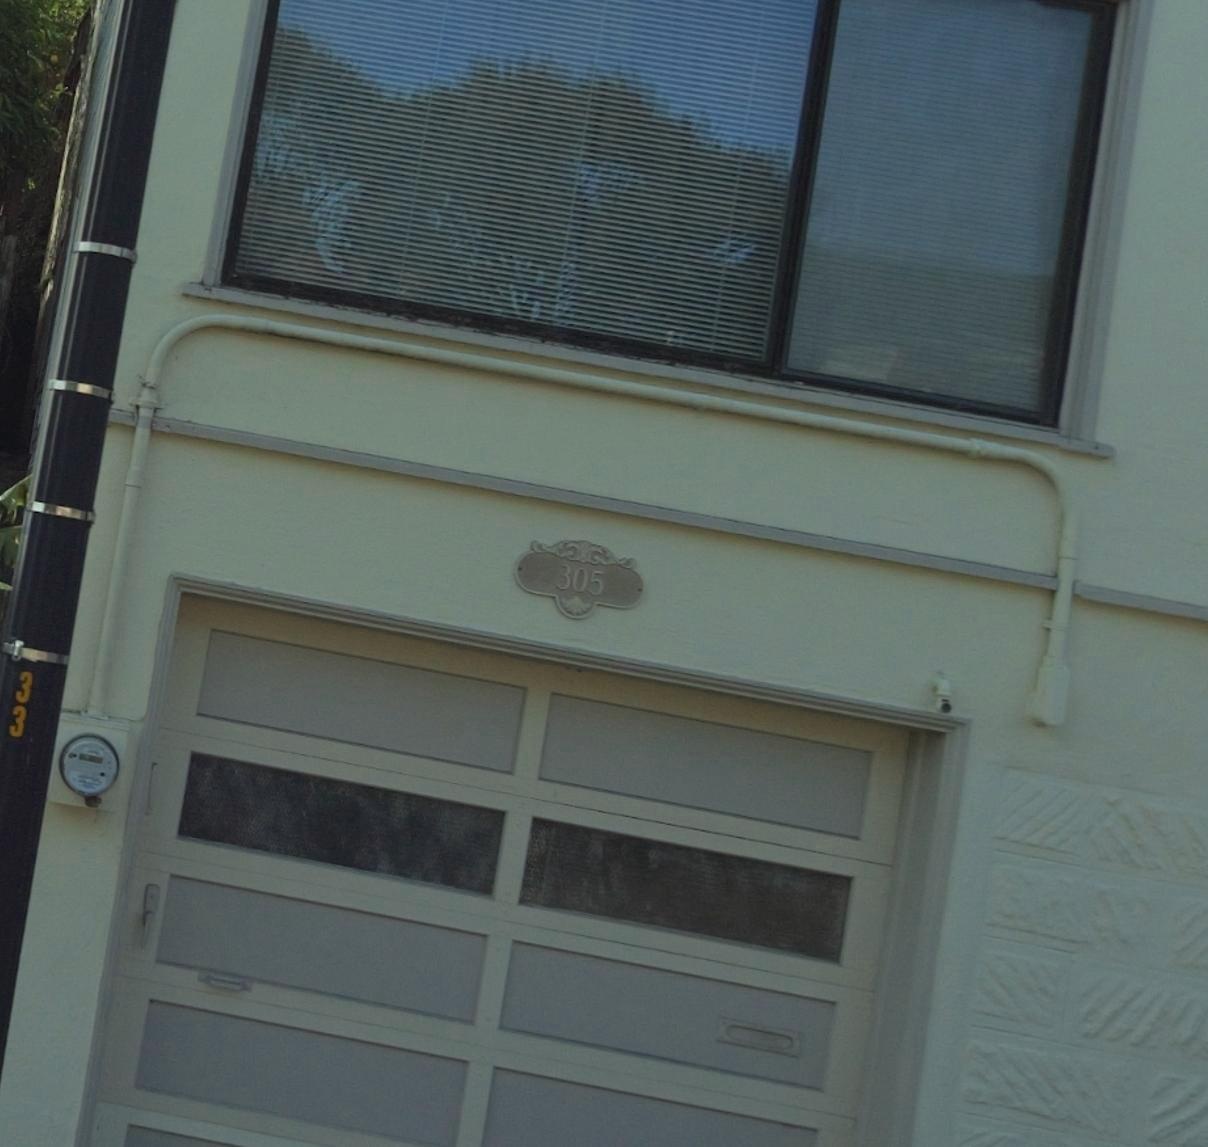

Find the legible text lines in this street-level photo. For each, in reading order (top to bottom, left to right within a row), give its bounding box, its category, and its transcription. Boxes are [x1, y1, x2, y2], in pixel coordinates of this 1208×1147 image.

[555, 561, 606, 597] StreetNumber: 305
[4, 665, 37, 741] None: 33